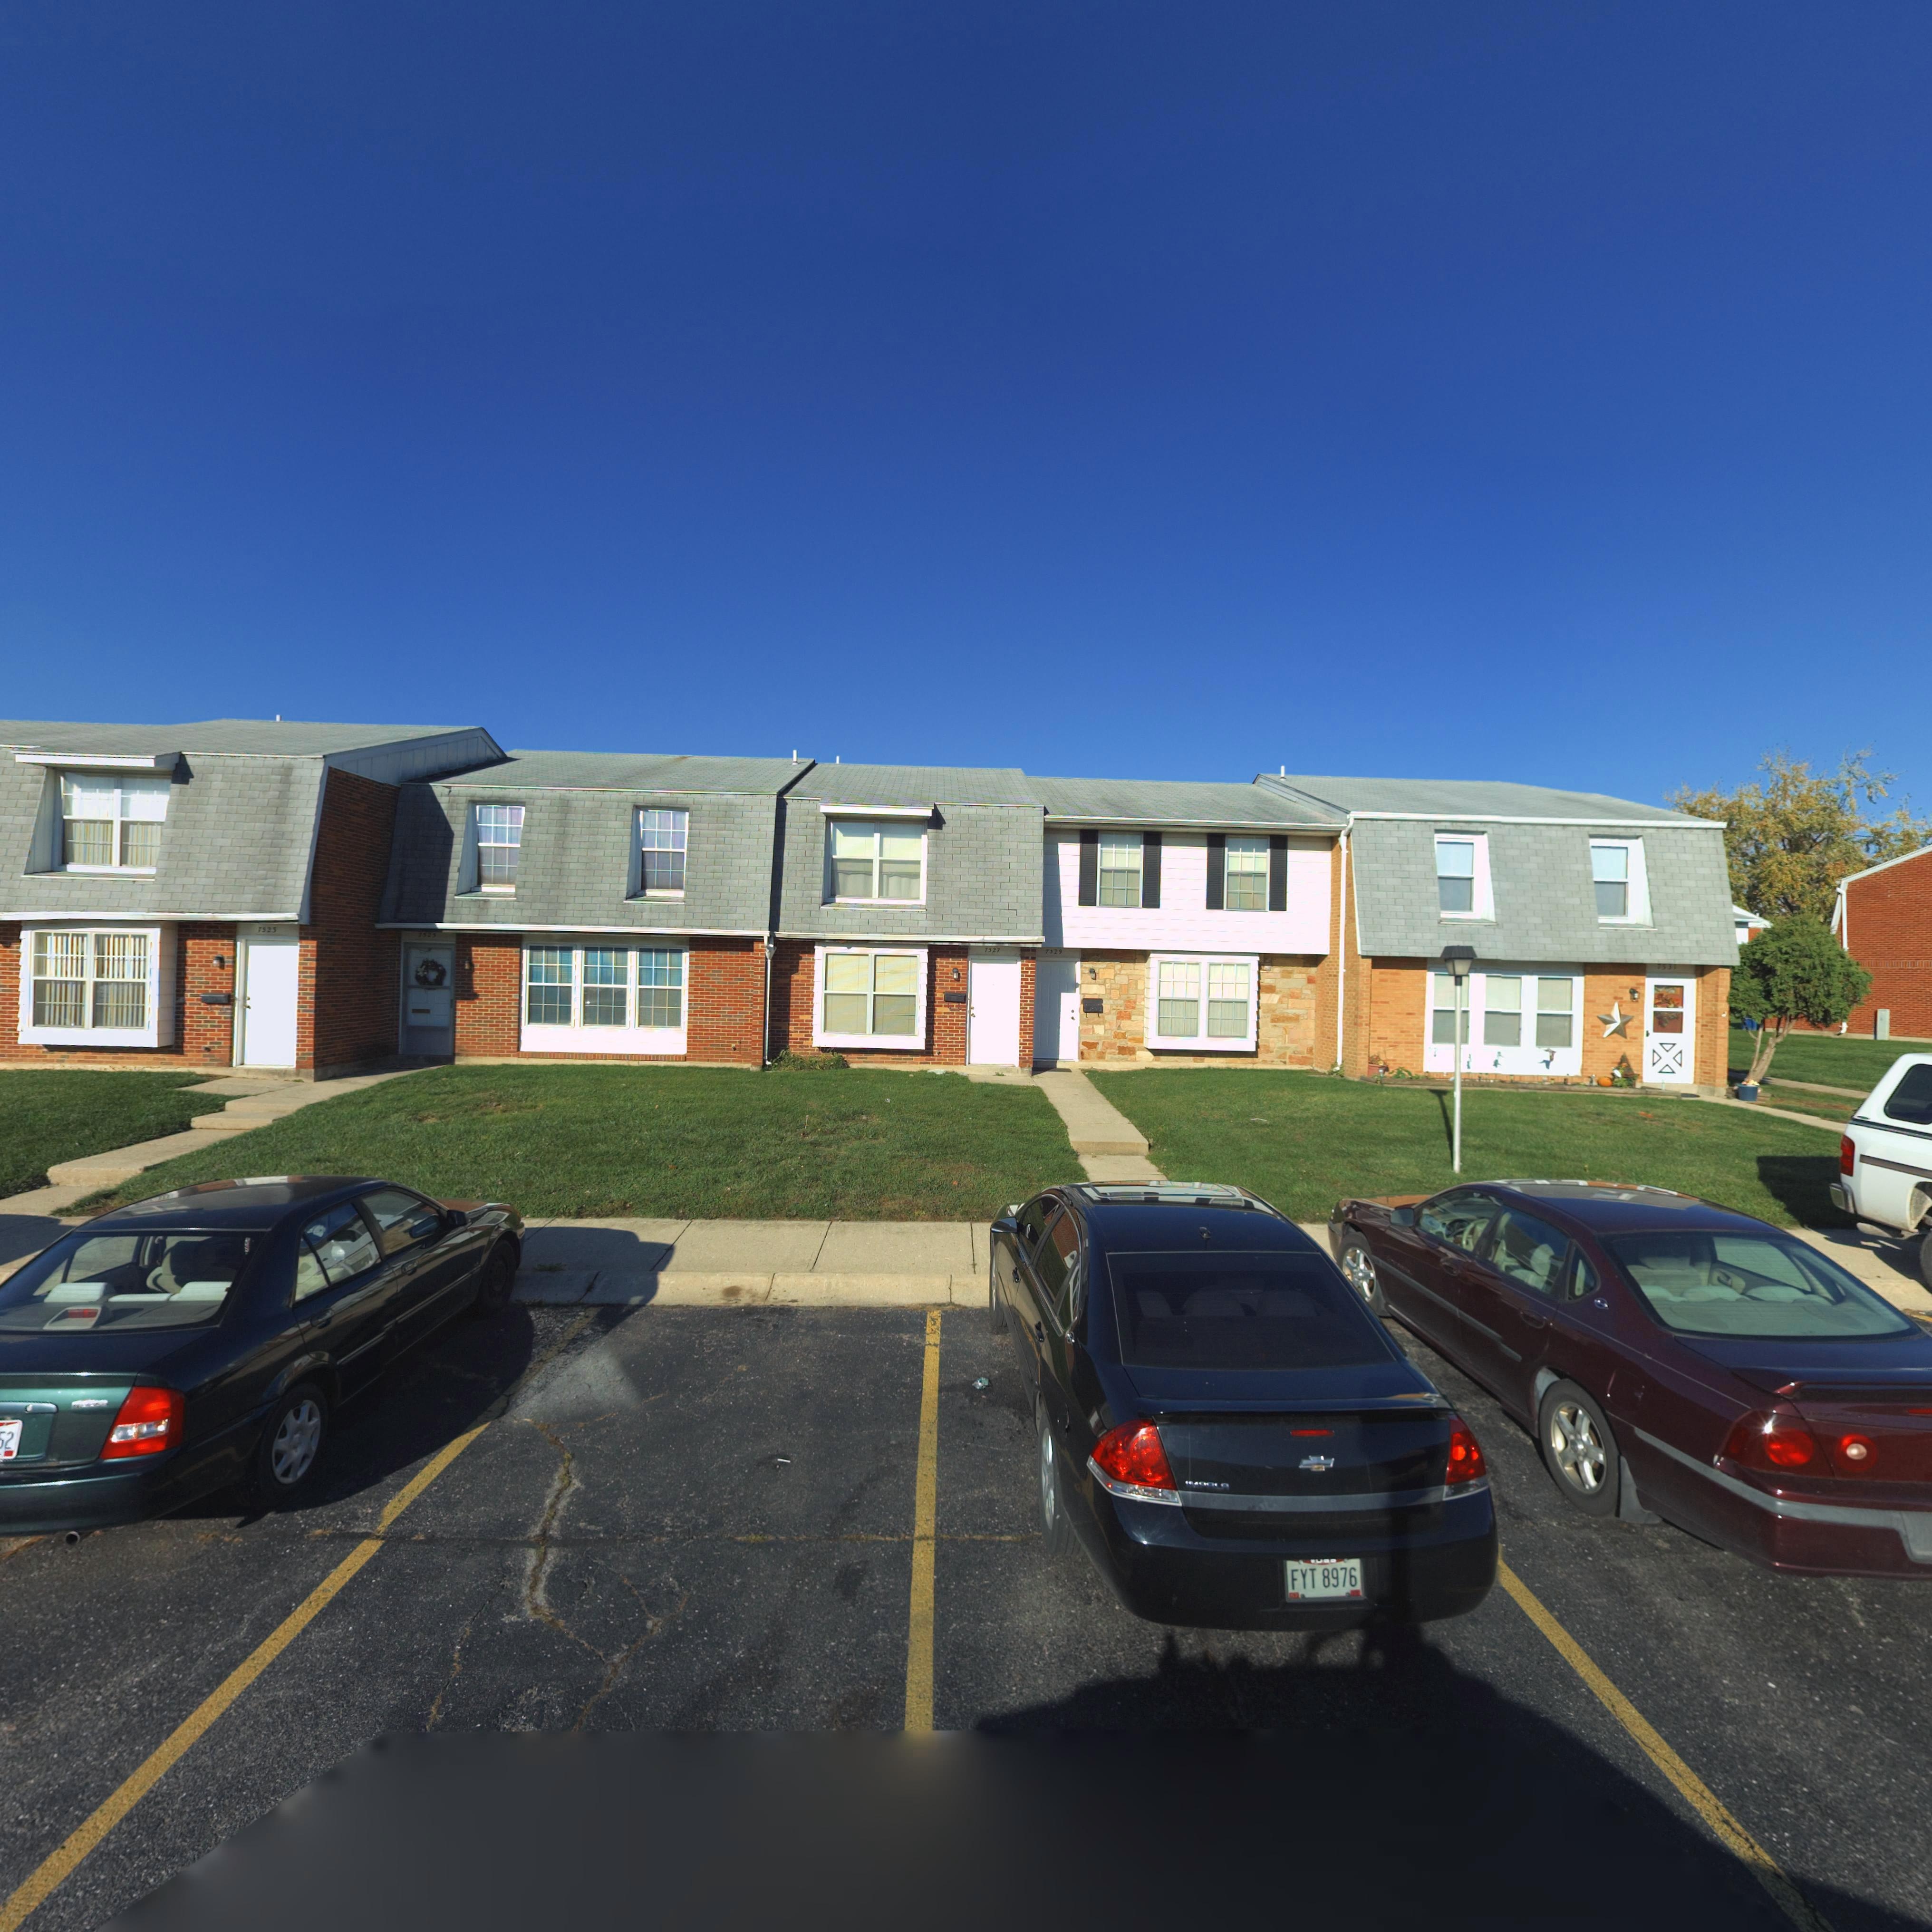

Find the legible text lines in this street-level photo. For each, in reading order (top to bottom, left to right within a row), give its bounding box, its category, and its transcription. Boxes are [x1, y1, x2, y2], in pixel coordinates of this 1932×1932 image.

[257, 926, 277, 933] StreetNumber: 7523
[417, 931, 436, 938] StreetNumber: 7525
[985, 947, 1001, 953] StreetNumber: 7527
[1045, 948, 1063, 954] StreetNumber: 7529
[1657, 963, 1677, 970] StreetNumber: 7531